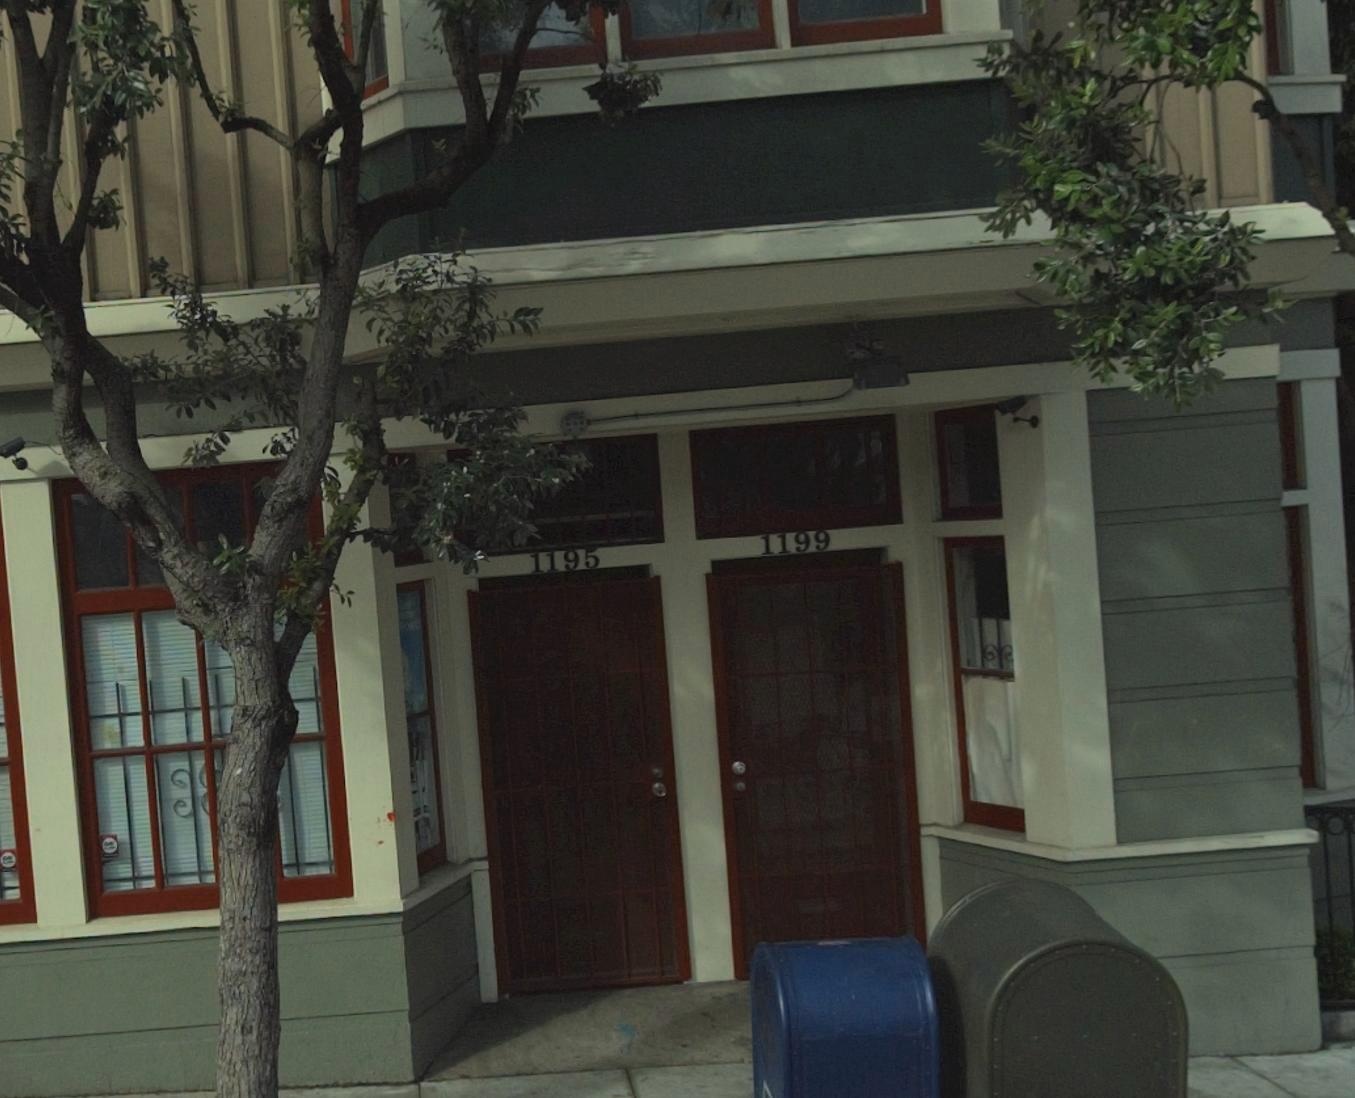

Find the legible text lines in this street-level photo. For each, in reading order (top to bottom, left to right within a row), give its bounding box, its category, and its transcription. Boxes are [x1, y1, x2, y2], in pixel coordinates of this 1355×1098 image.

[757, 526, 833, 558] StreetNumber: 1199
[528, 545, 602, 577] StreetNumber: 1195